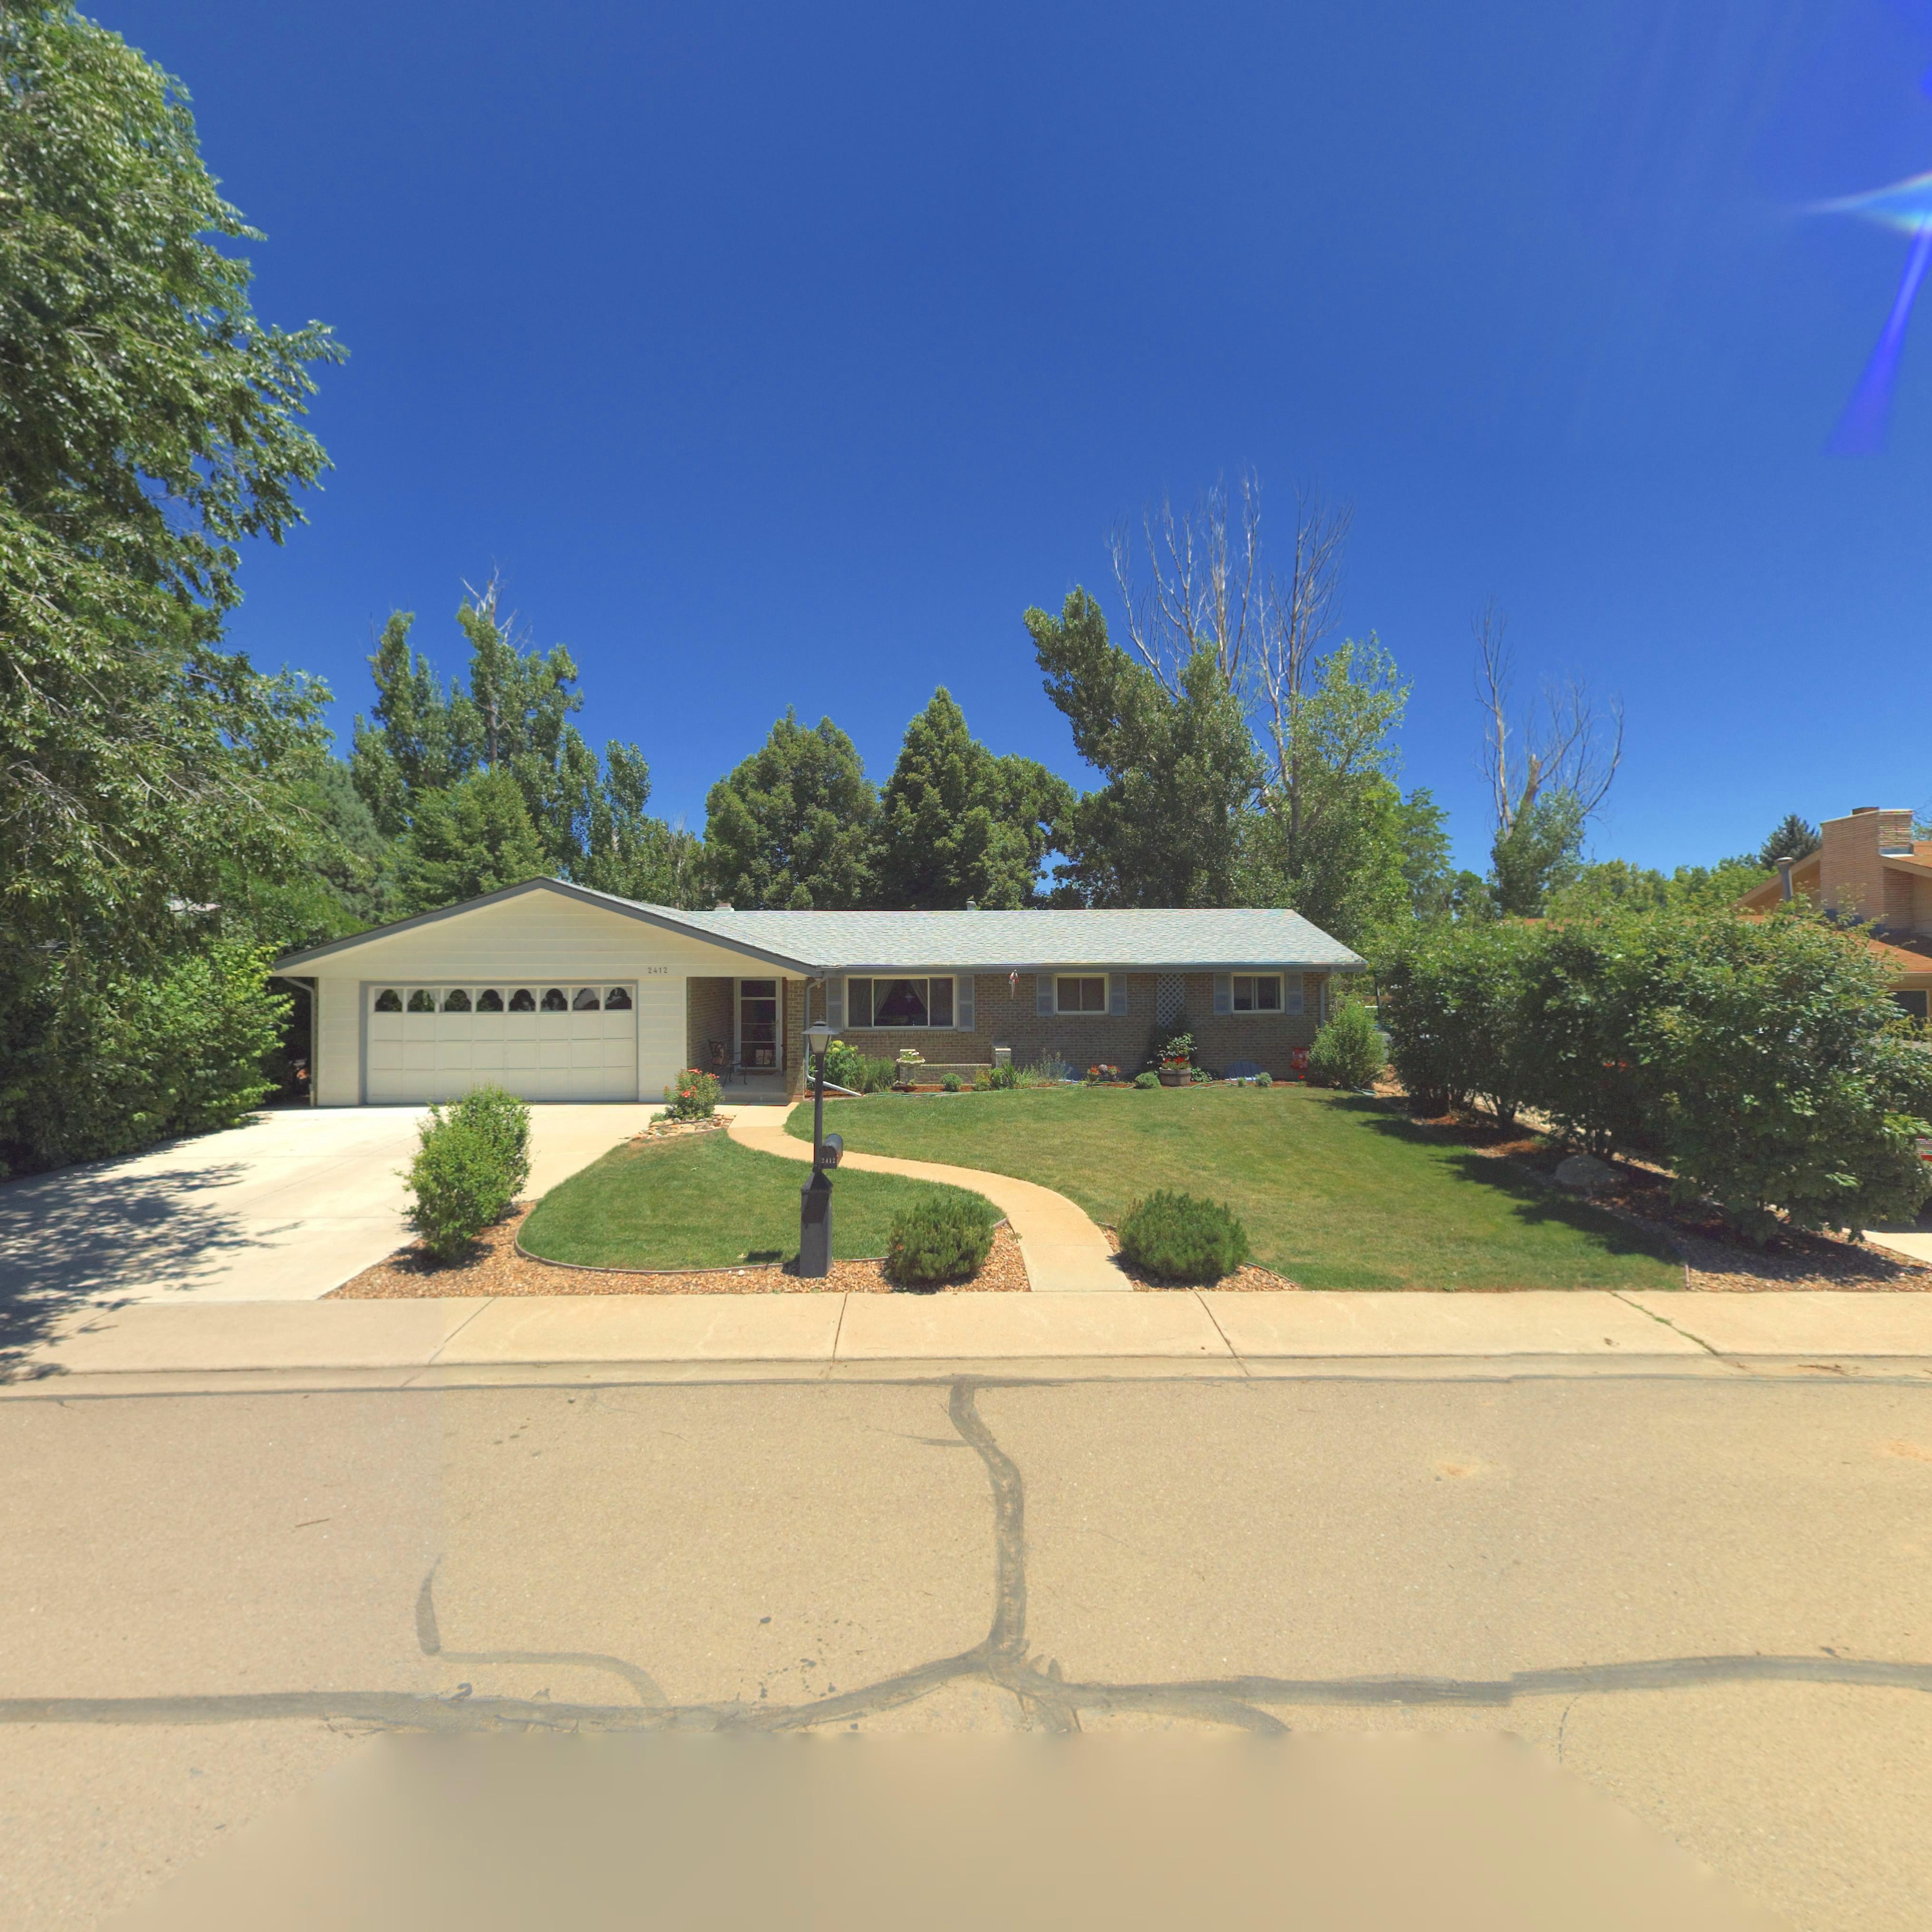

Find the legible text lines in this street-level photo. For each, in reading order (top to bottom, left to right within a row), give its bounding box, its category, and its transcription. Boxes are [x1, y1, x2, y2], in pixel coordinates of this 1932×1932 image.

[647, 966, 668, 974] StreetNumber: 2412
[821, 1157, 836, 1164] StreetNumber: 2412